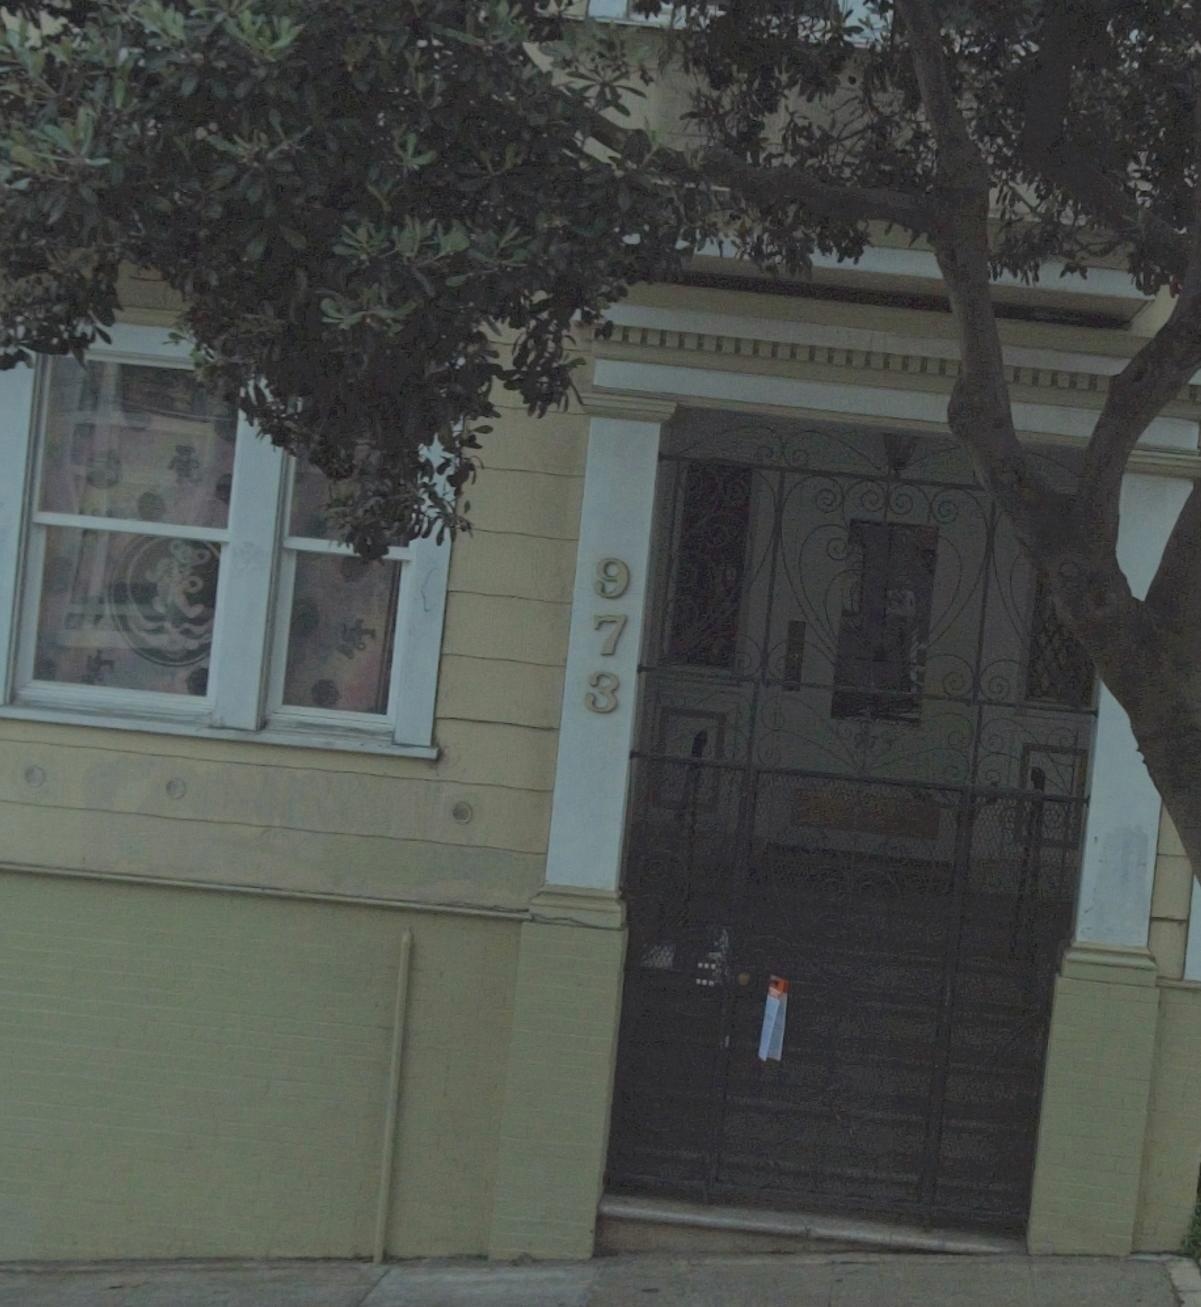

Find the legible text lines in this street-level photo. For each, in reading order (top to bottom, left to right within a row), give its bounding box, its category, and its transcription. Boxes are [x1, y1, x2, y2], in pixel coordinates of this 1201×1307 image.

[582, 555, 634, 717] StreetNumber: 973